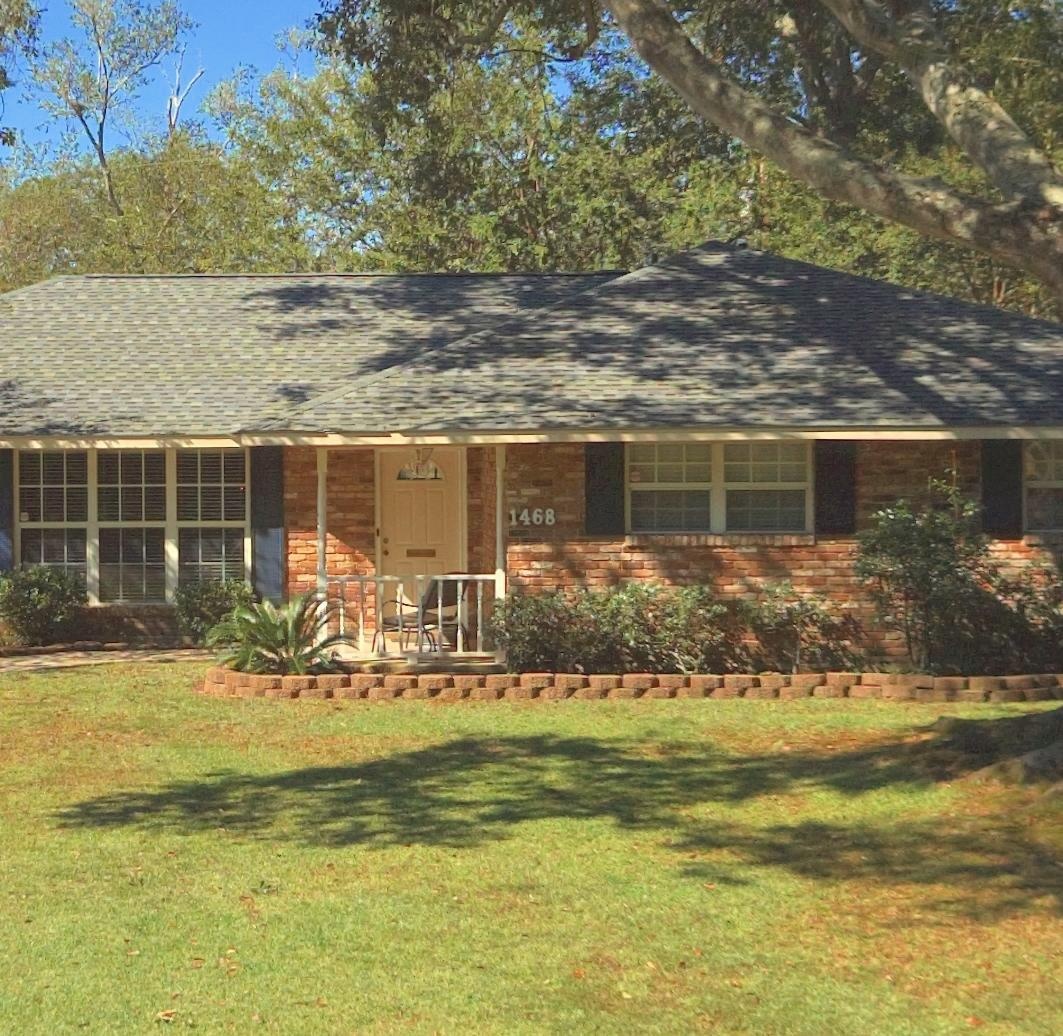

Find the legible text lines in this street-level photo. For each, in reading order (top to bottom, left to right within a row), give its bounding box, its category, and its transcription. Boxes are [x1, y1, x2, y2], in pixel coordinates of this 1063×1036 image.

[508, 506, 557, 527] StreetNumber: 1468